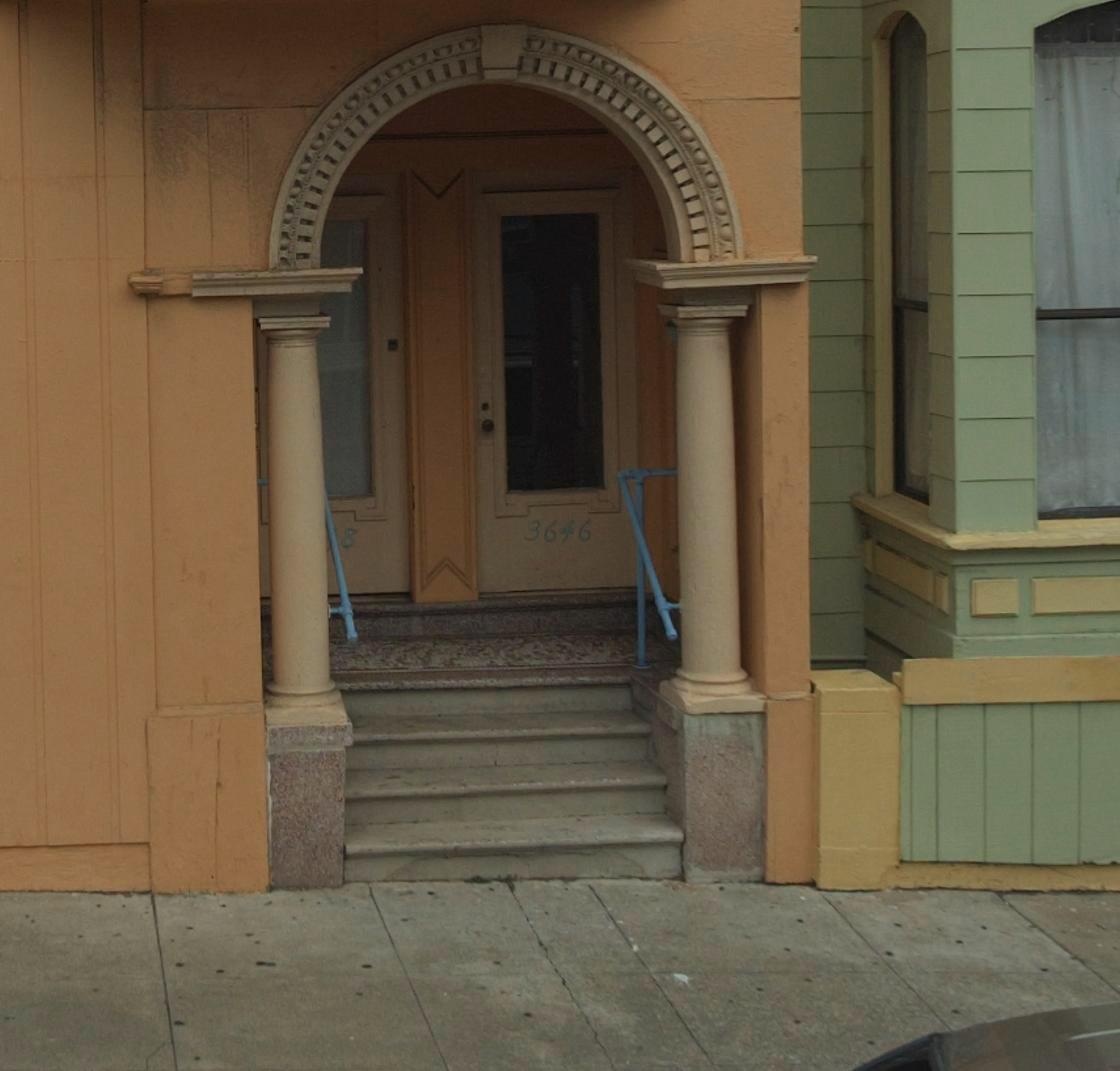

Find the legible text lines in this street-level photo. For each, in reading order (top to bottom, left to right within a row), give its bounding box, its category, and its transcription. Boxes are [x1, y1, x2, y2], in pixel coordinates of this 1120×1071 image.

[338, 526, 361, 549] StreetNumber: 8
[521, 518, 593, 543] StreetNumber: 3646